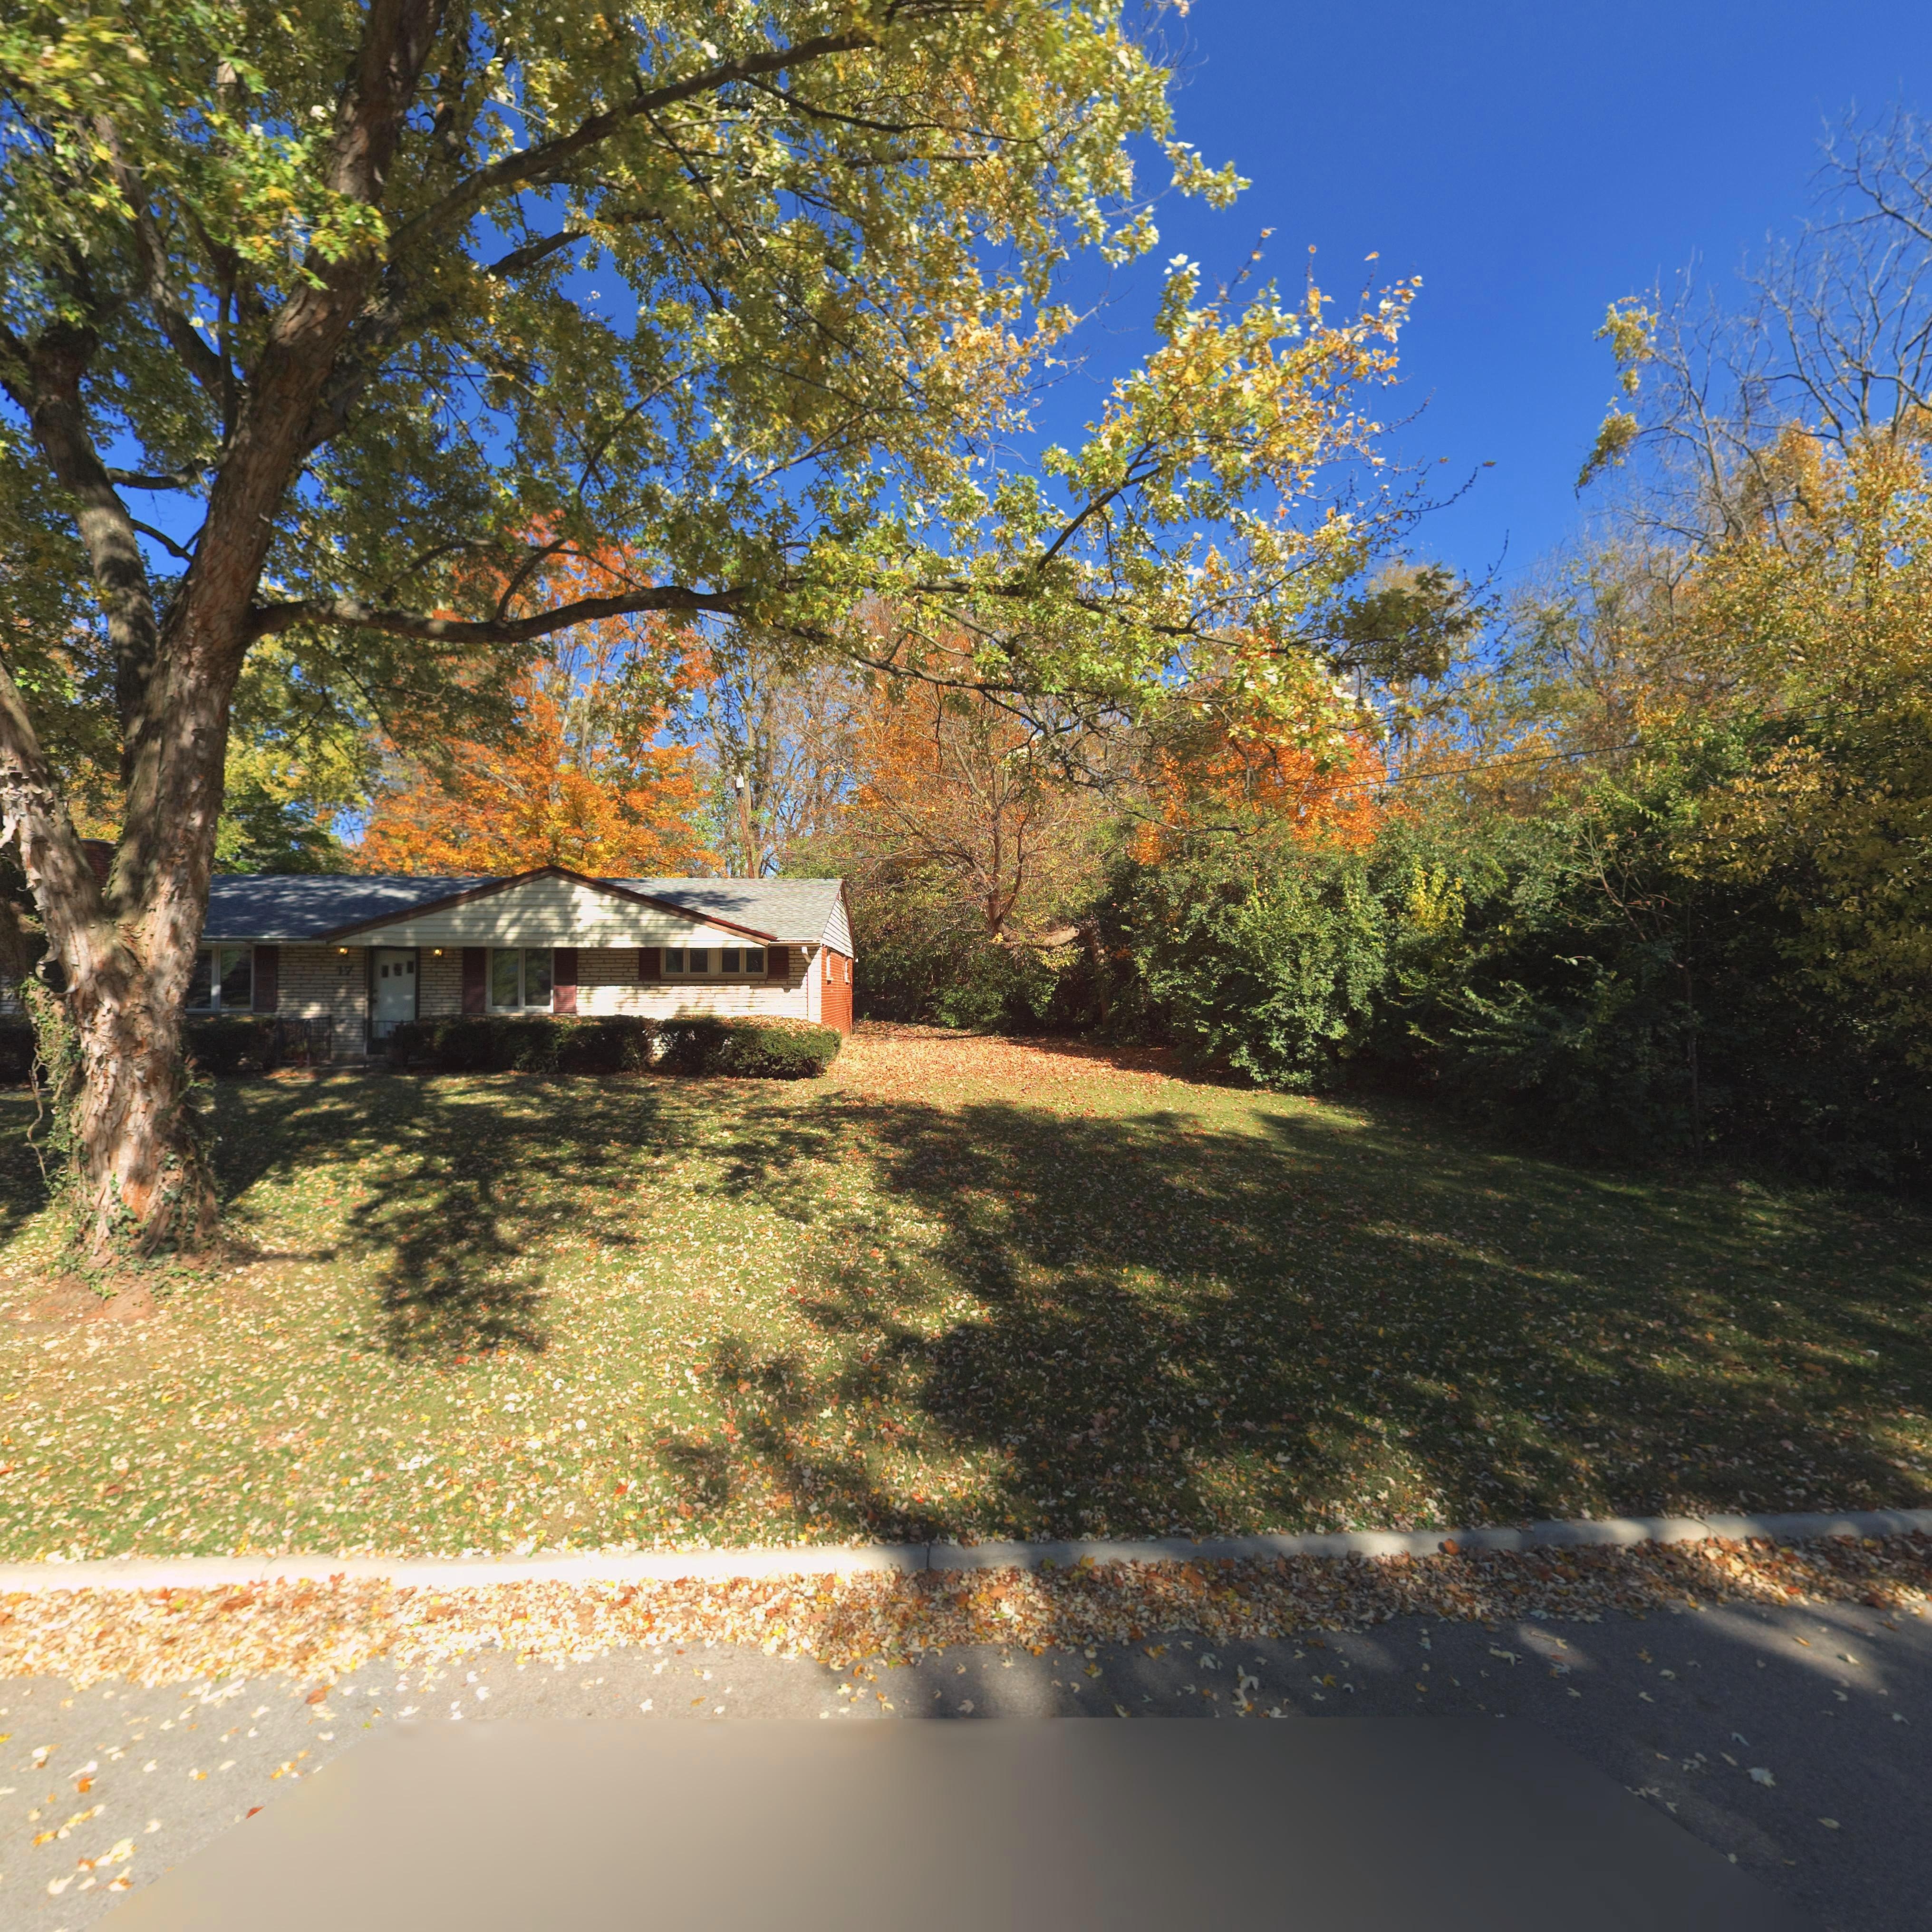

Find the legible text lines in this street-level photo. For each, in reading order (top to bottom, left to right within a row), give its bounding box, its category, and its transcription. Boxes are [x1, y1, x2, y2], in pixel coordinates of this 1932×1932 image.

[337, 965, 353, 976] StreetNumber: 17